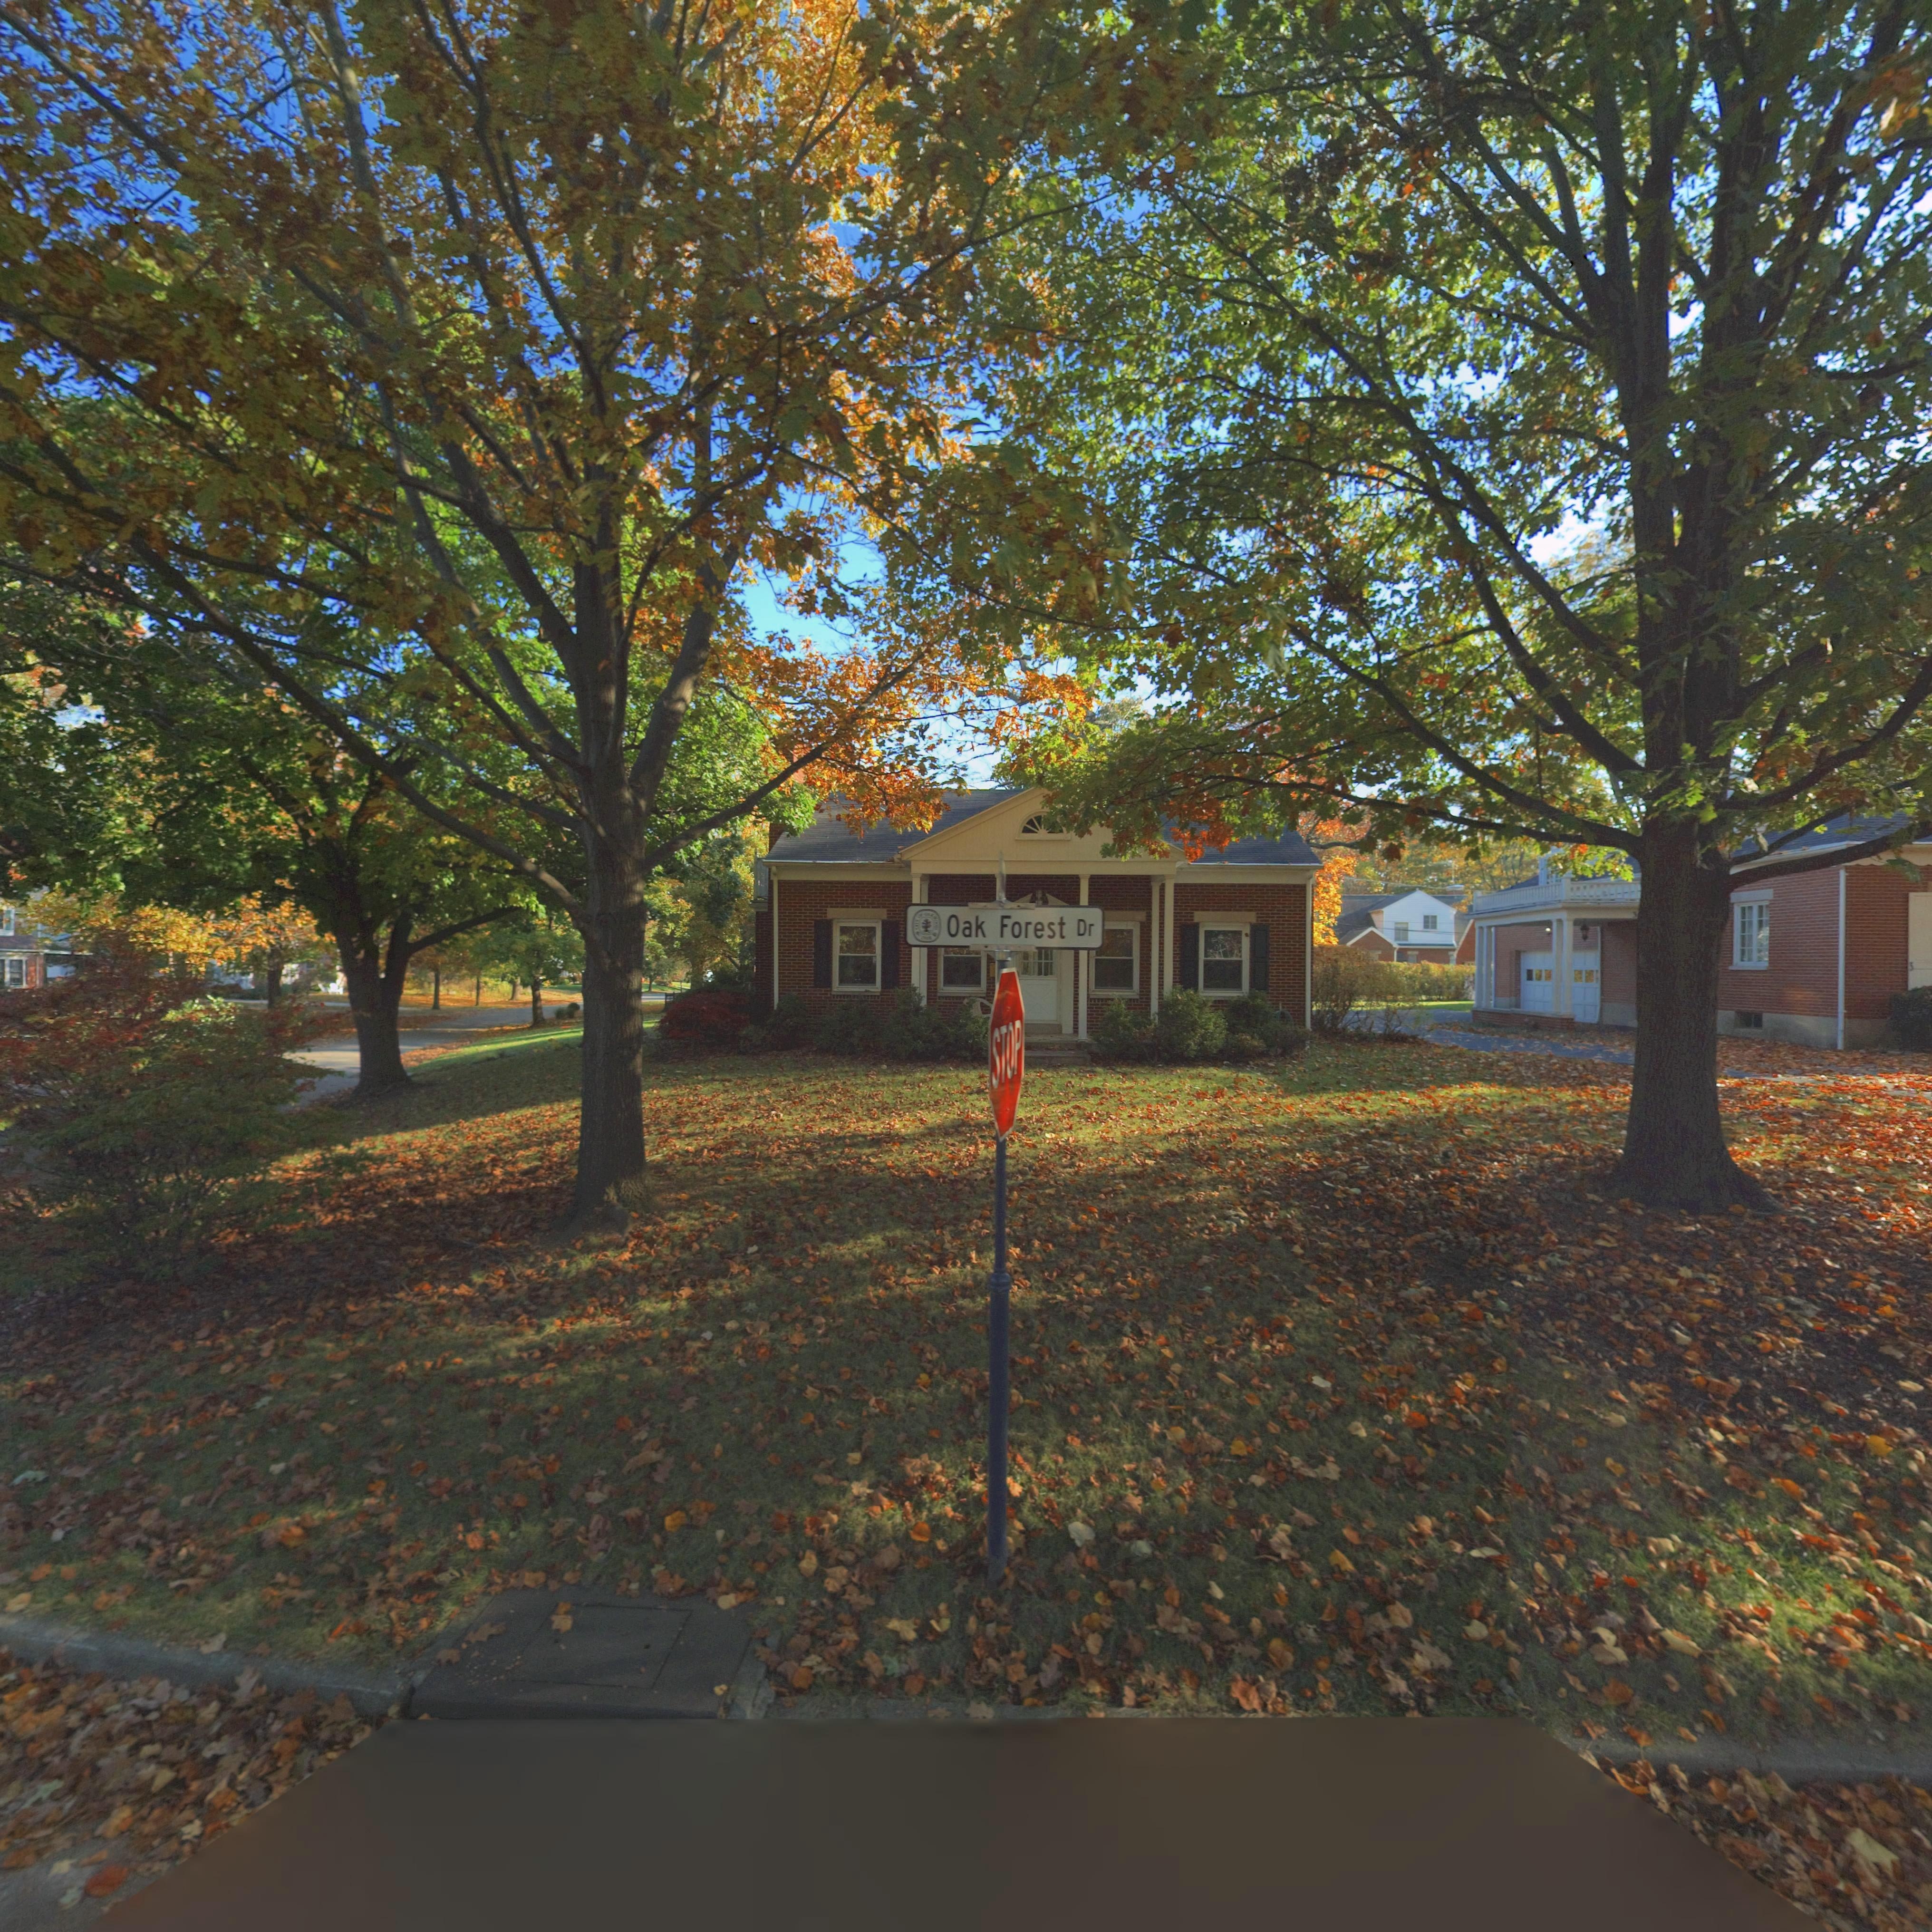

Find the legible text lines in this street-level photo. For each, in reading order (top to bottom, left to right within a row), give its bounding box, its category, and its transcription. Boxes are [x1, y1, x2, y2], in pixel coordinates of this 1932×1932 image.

[946, 912, 1096, 941] StreetName: Oak Forest Dr
[1631, 910, 1638, 918] StreetNumber: 3